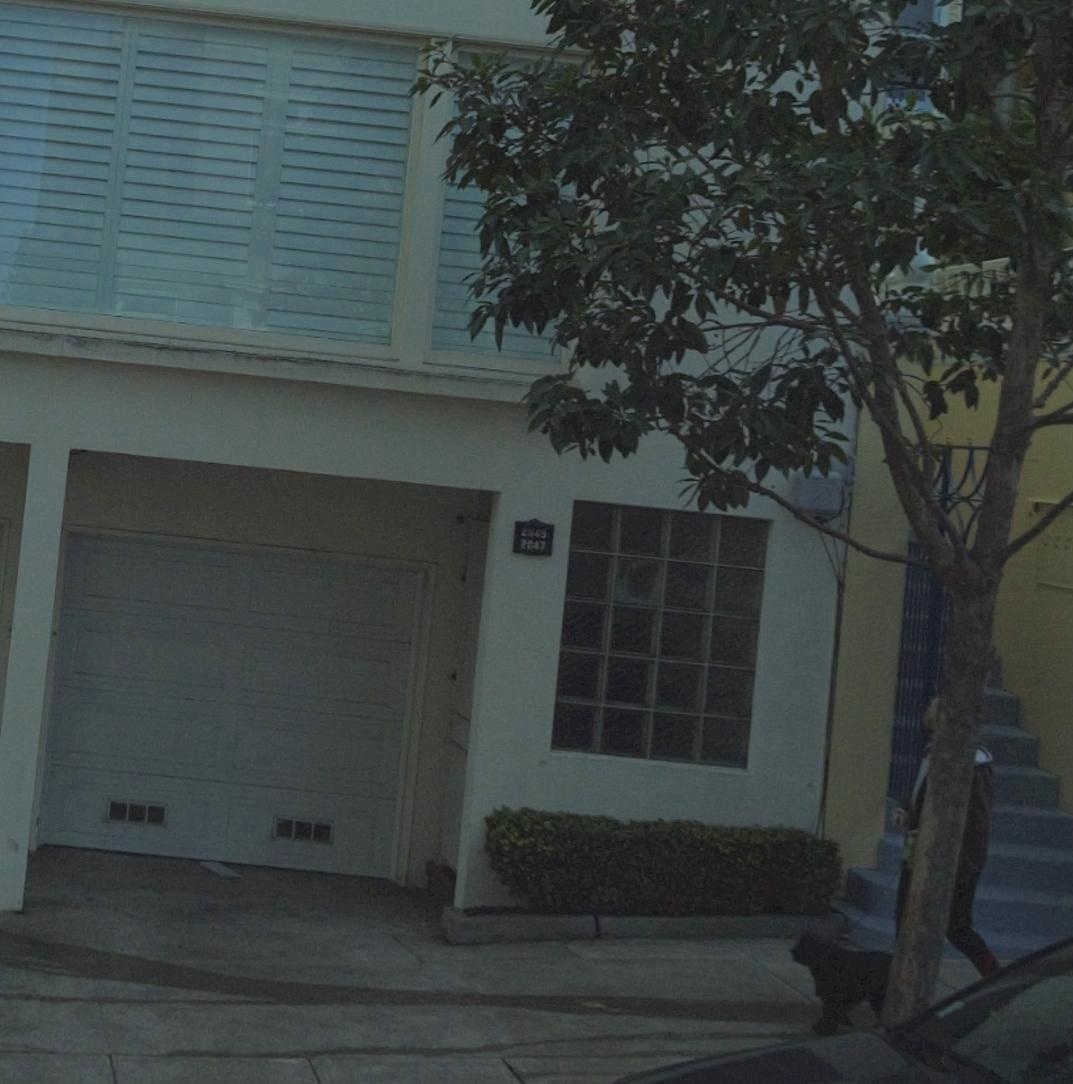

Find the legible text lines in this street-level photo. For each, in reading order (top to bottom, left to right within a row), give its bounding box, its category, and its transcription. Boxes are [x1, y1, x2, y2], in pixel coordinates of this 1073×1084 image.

[518, 524, 550, 541] StreetNumber: 2*4*
[517, 536, 548, 553] StreetNumber: 2047